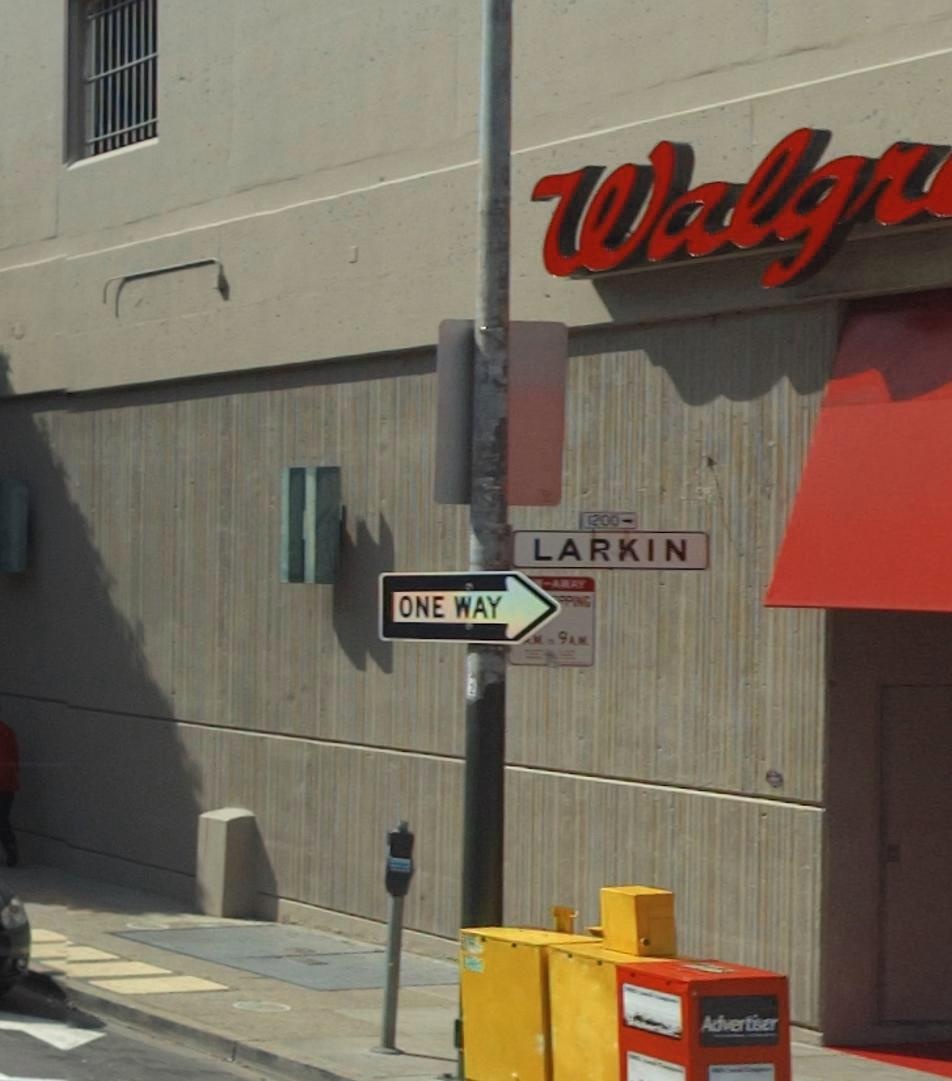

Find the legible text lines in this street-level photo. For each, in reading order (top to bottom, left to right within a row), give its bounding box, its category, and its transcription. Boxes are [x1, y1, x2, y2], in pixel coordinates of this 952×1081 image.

[525, 122, 936, 294] BusinessName: Walgr
[585, 512, 635, 529] StreetNumberRange: 1200->
[531, 534, 689, 565] StreetName: LARKIN
[395, 591, 506, 623] None: ONE WAY
[555, 627, 593, 649] None: 9A.M.
[698, 1011, 783, 1035] None: Advertiser